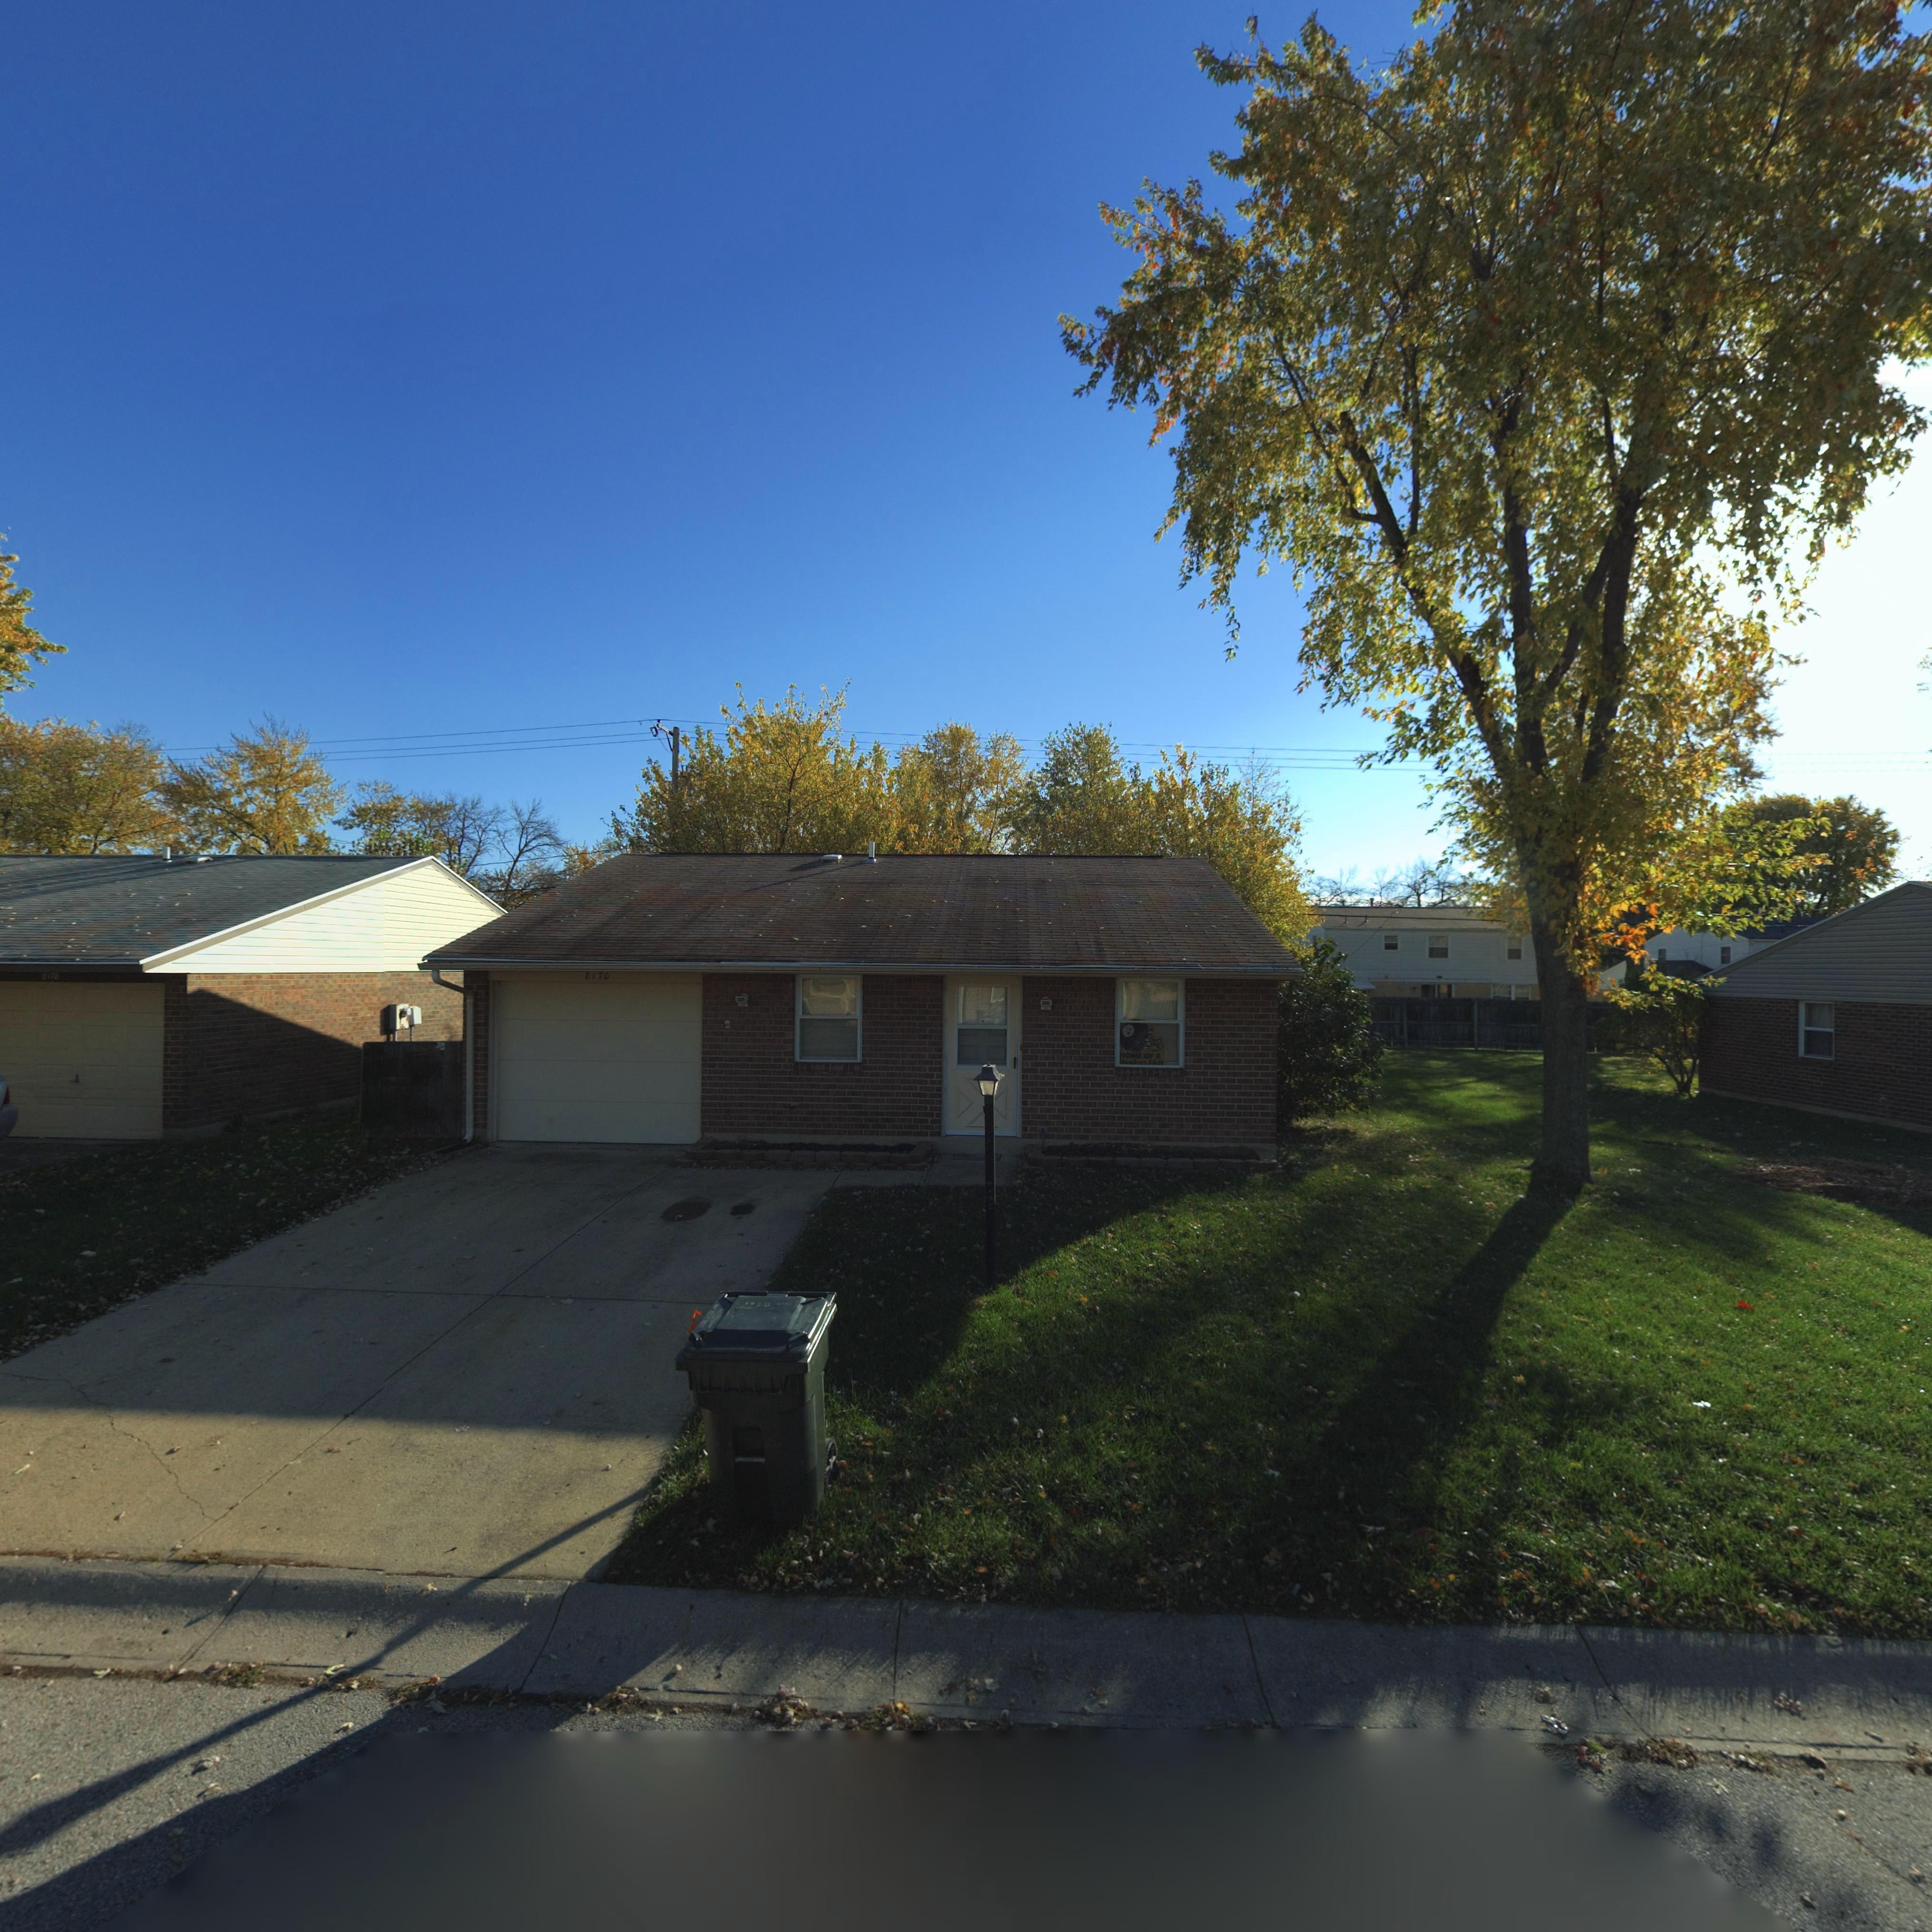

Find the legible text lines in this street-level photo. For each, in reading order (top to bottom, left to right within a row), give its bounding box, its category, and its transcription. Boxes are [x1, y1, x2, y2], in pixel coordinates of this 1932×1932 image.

[584, 971, 610, 981] StreetNumber: 8170